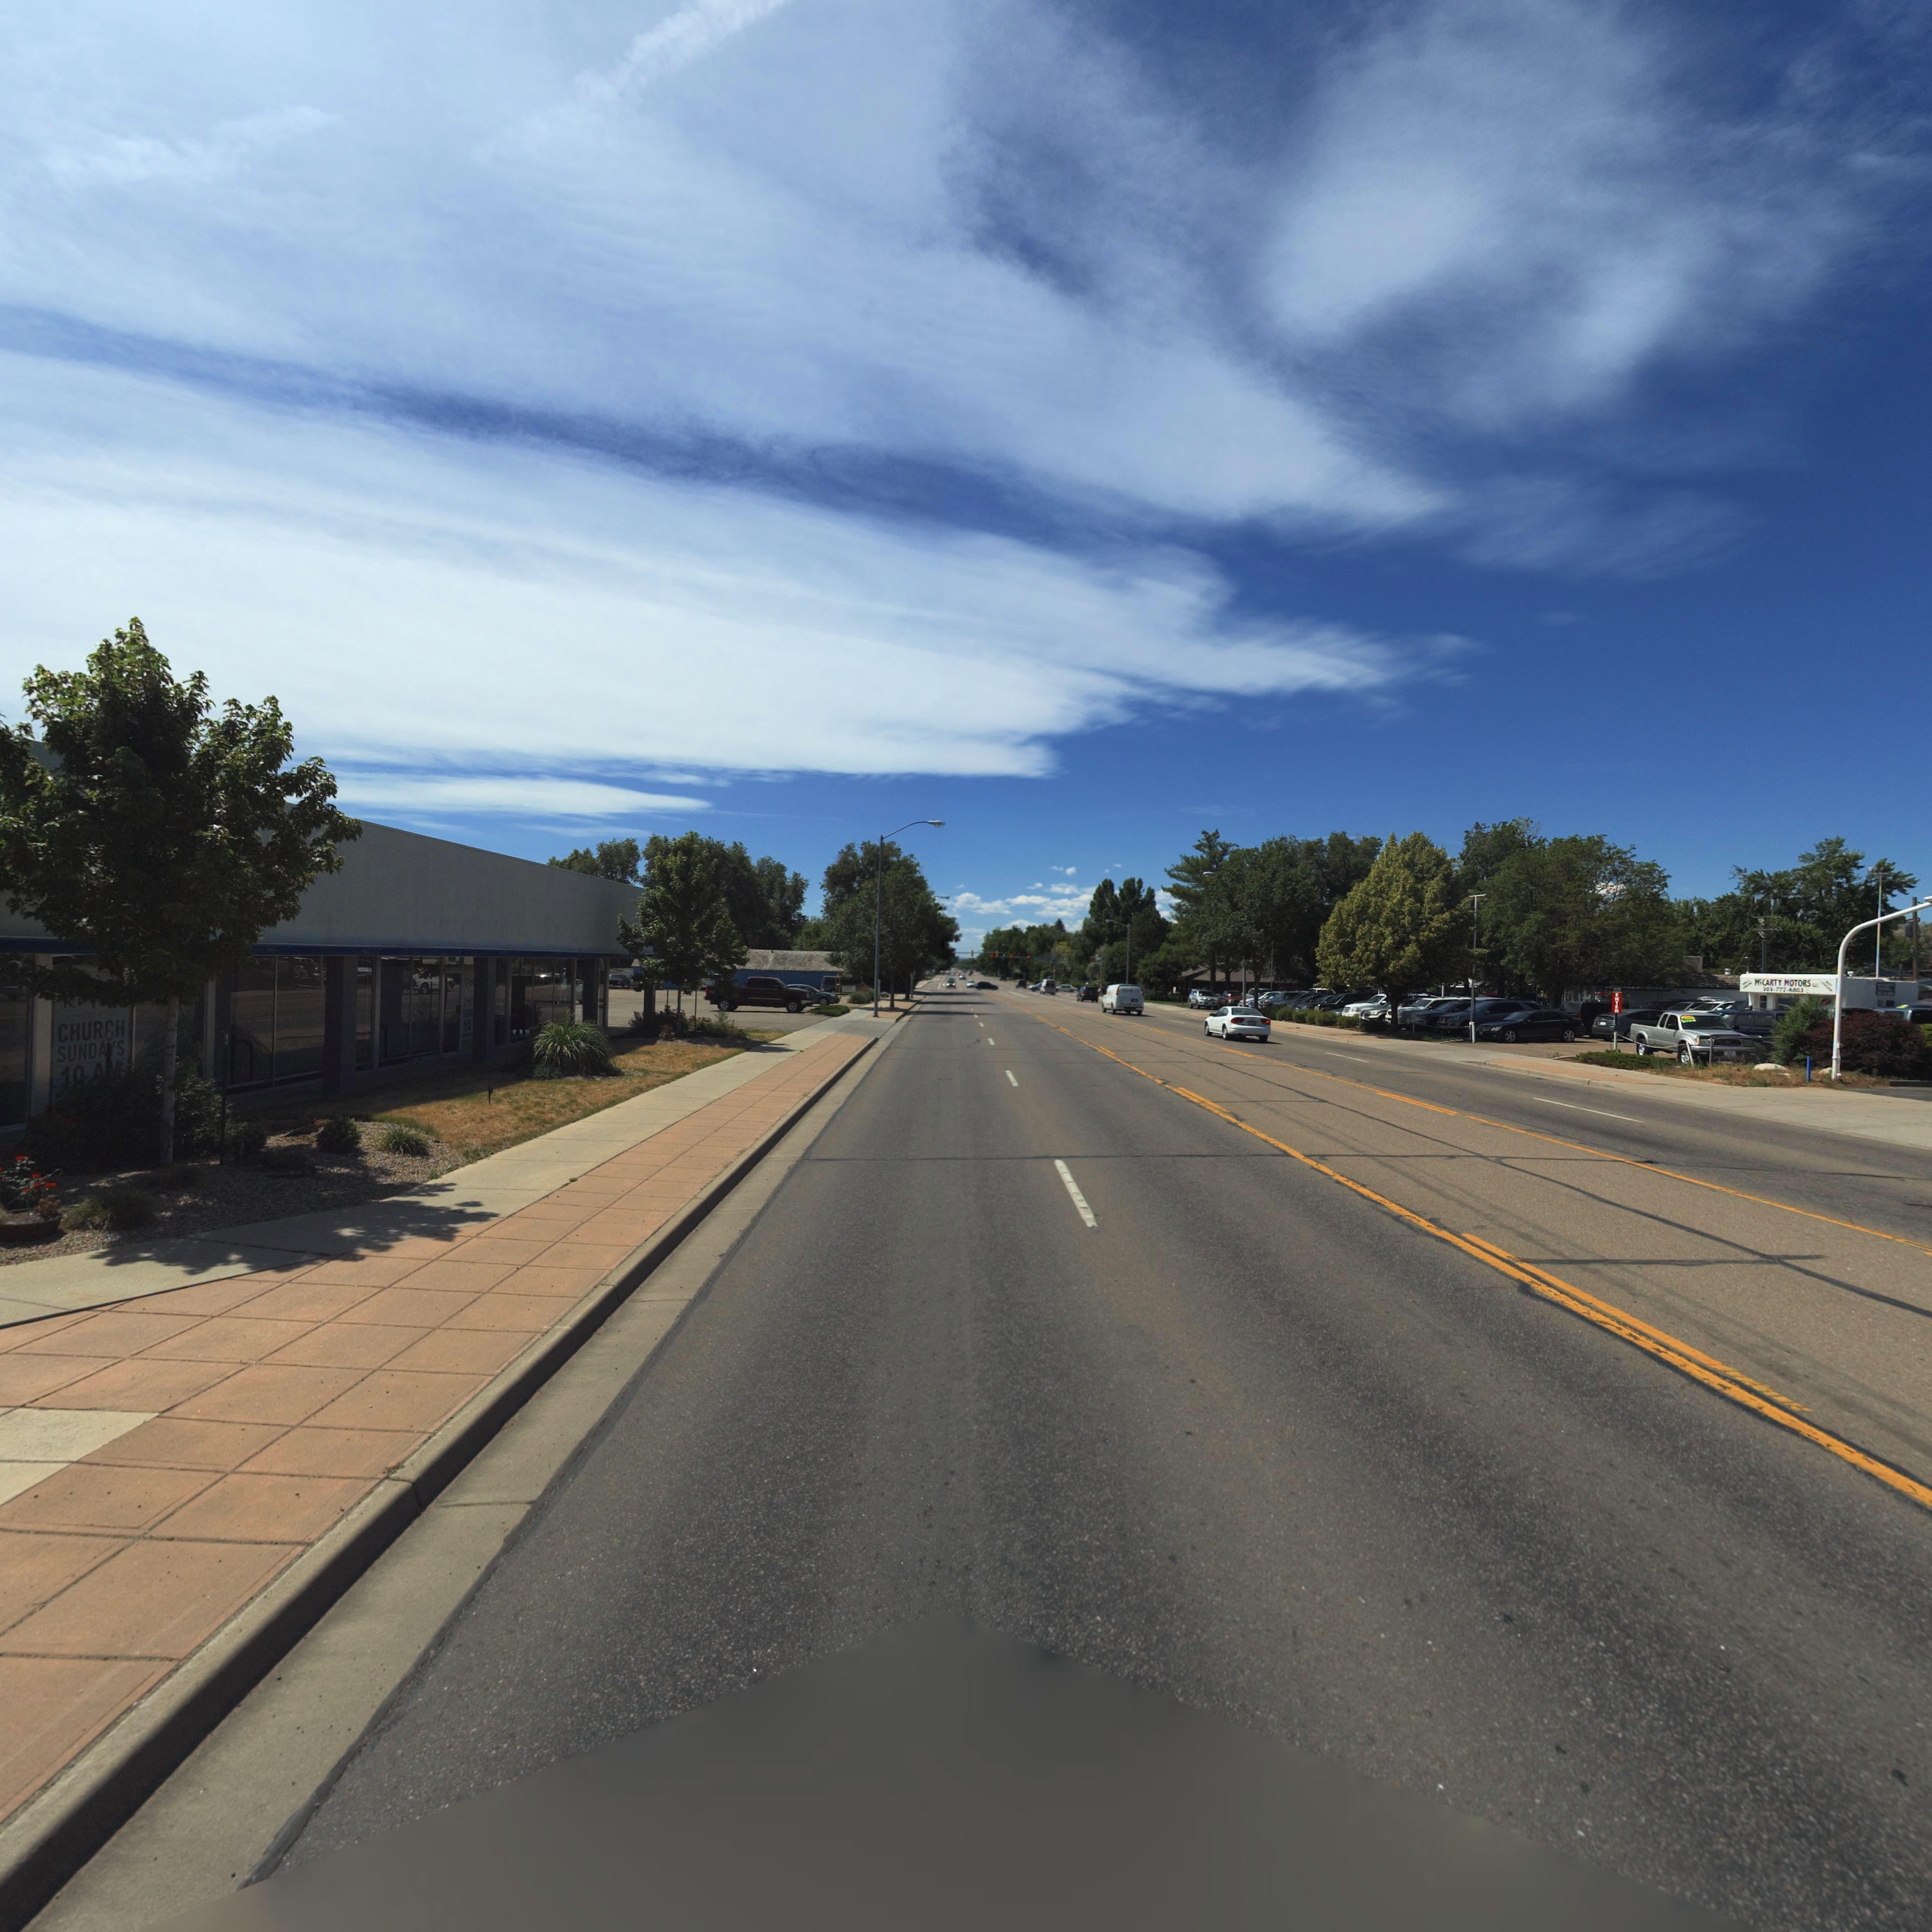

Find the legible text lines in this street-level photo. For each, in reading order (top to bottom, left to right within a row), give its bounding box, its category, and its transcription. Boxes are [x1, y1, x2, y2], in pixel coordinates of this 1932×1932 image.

[464, 977, 474, 988] BusinessName: RE
[1755, 978, 1812, 987] BusinessName: M*CARTY MOTORS
[463, 995, 473, 1007] BusinessName: CHU
[57, 1018, 125, 1043] BusinessName: CHURCH